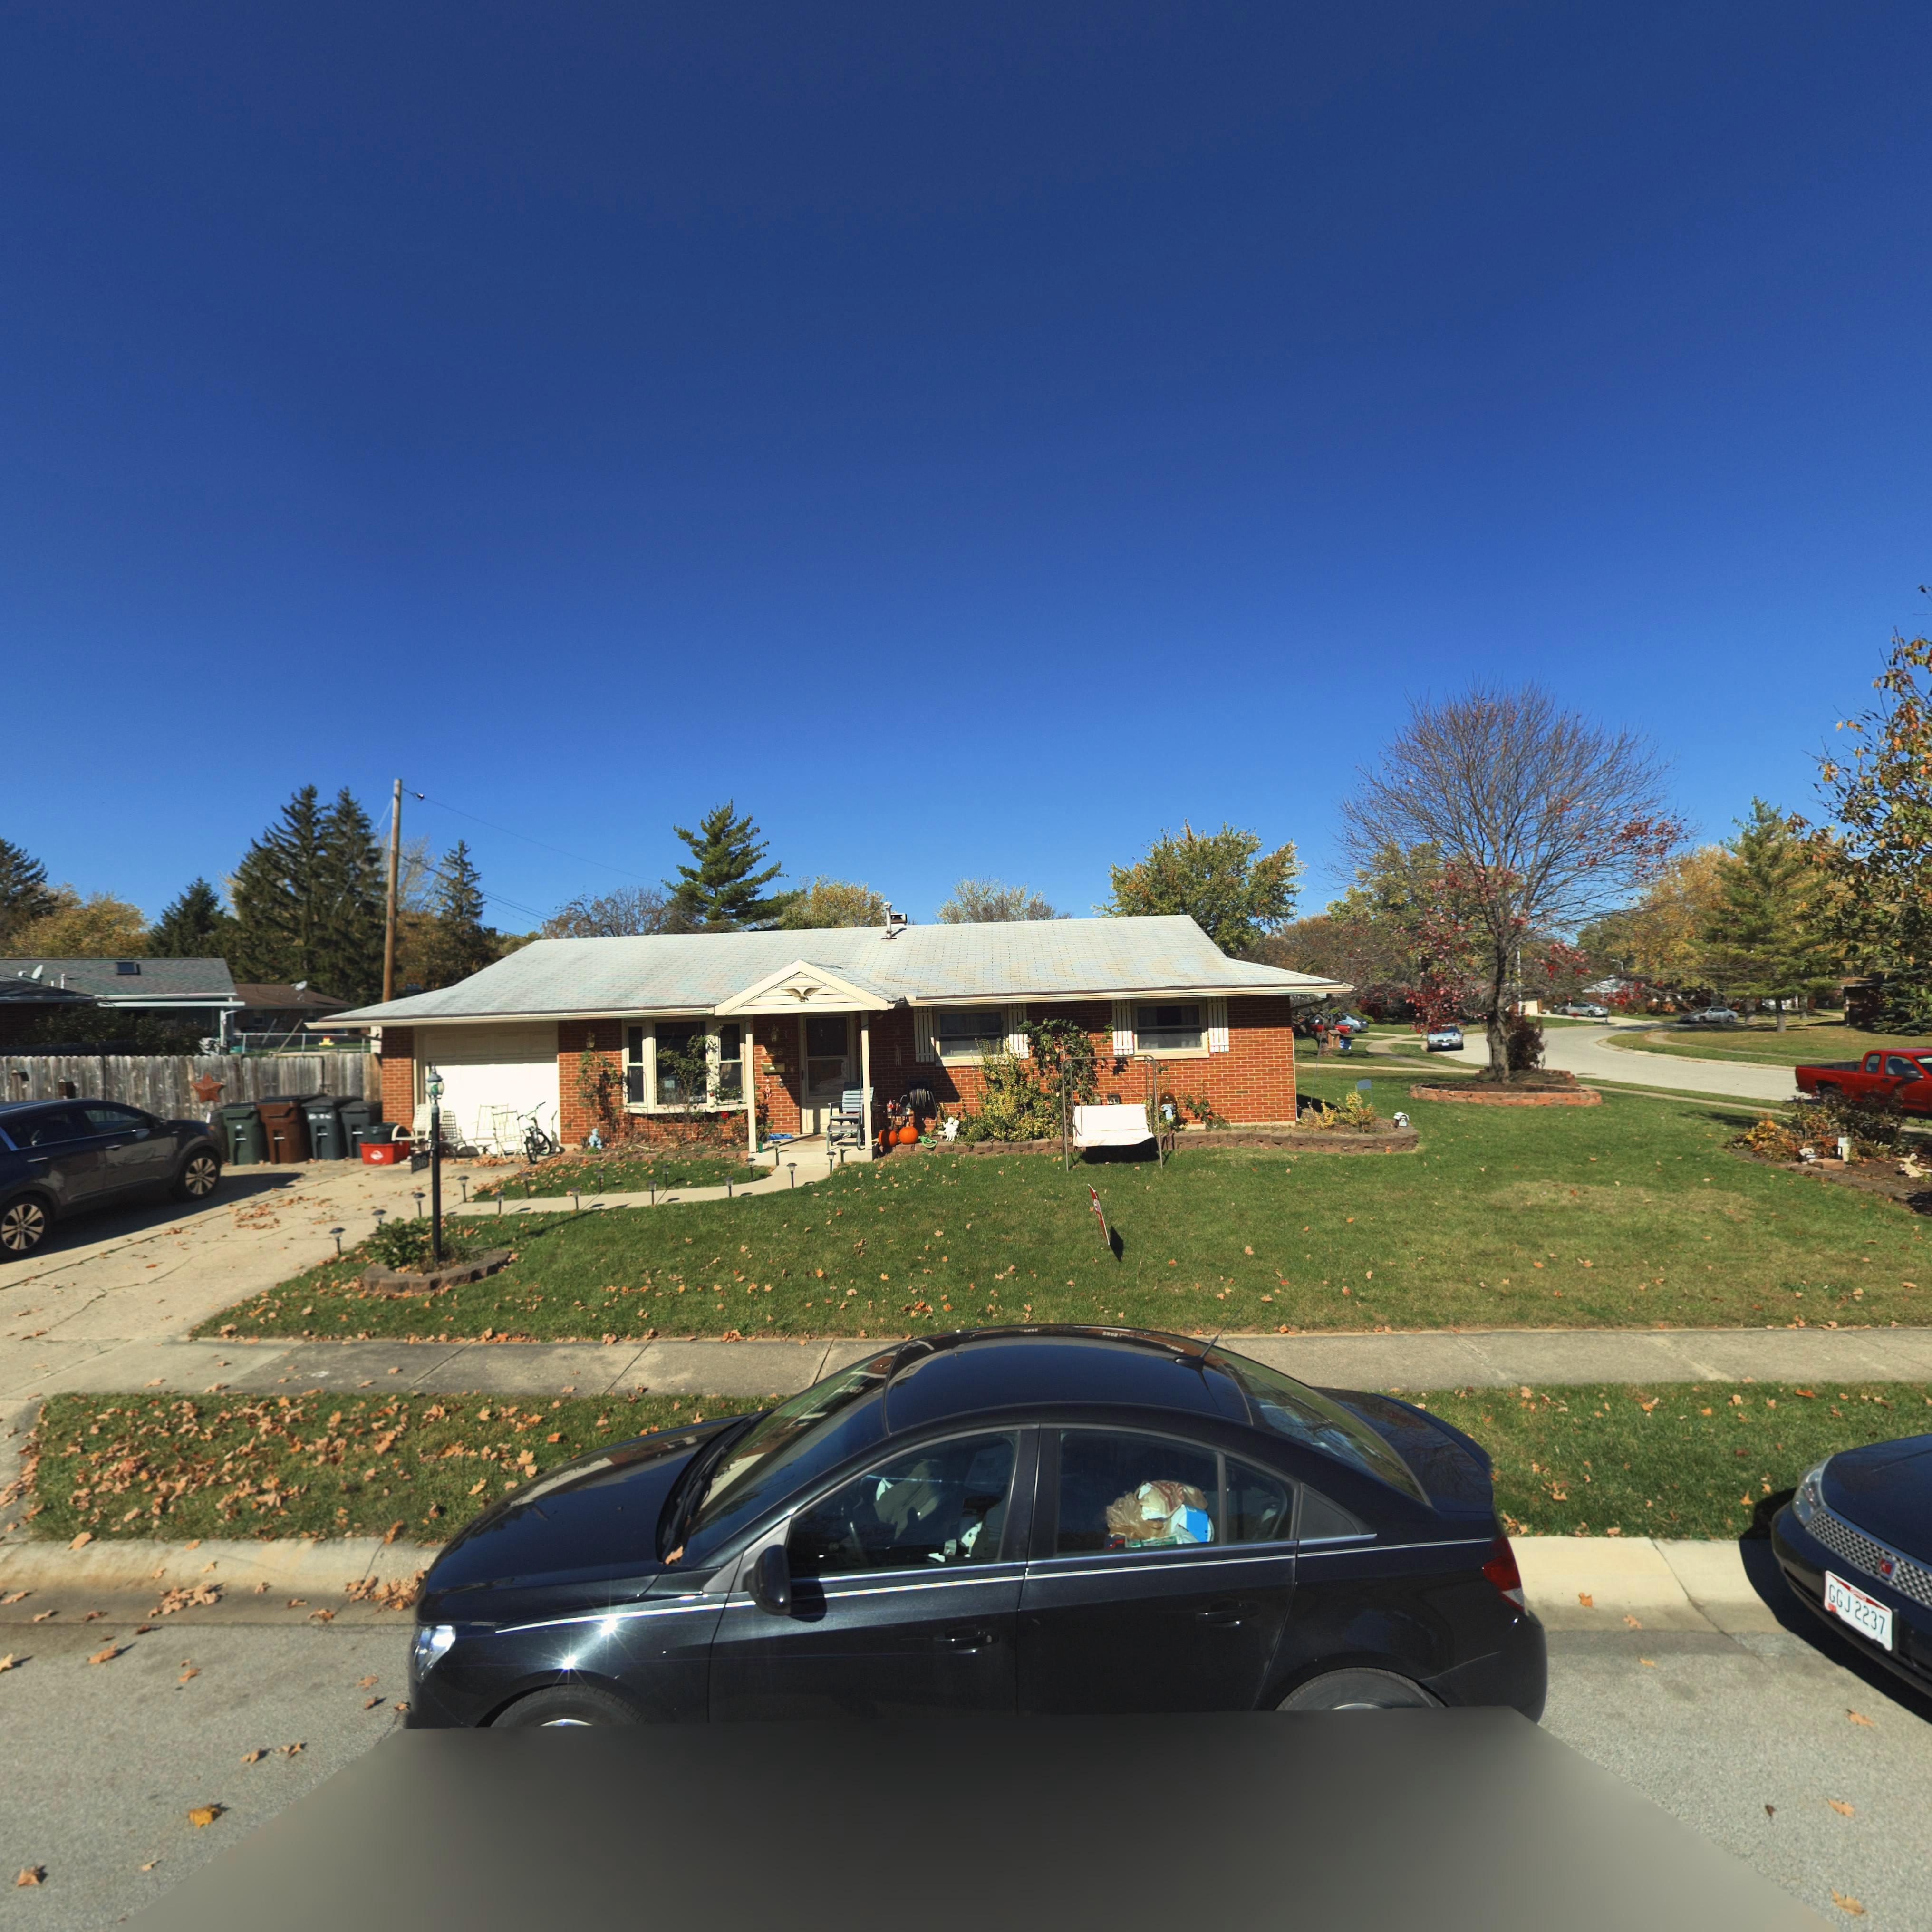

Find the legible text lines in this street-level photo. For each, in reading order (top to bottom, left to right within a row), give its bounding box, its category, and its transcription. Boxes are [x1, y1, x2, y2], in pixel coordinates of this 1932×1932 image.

[764, 1047, 784, 1056] StreetNumber: **6
[413, 1153, 429, 1172] StreetNumber: 36